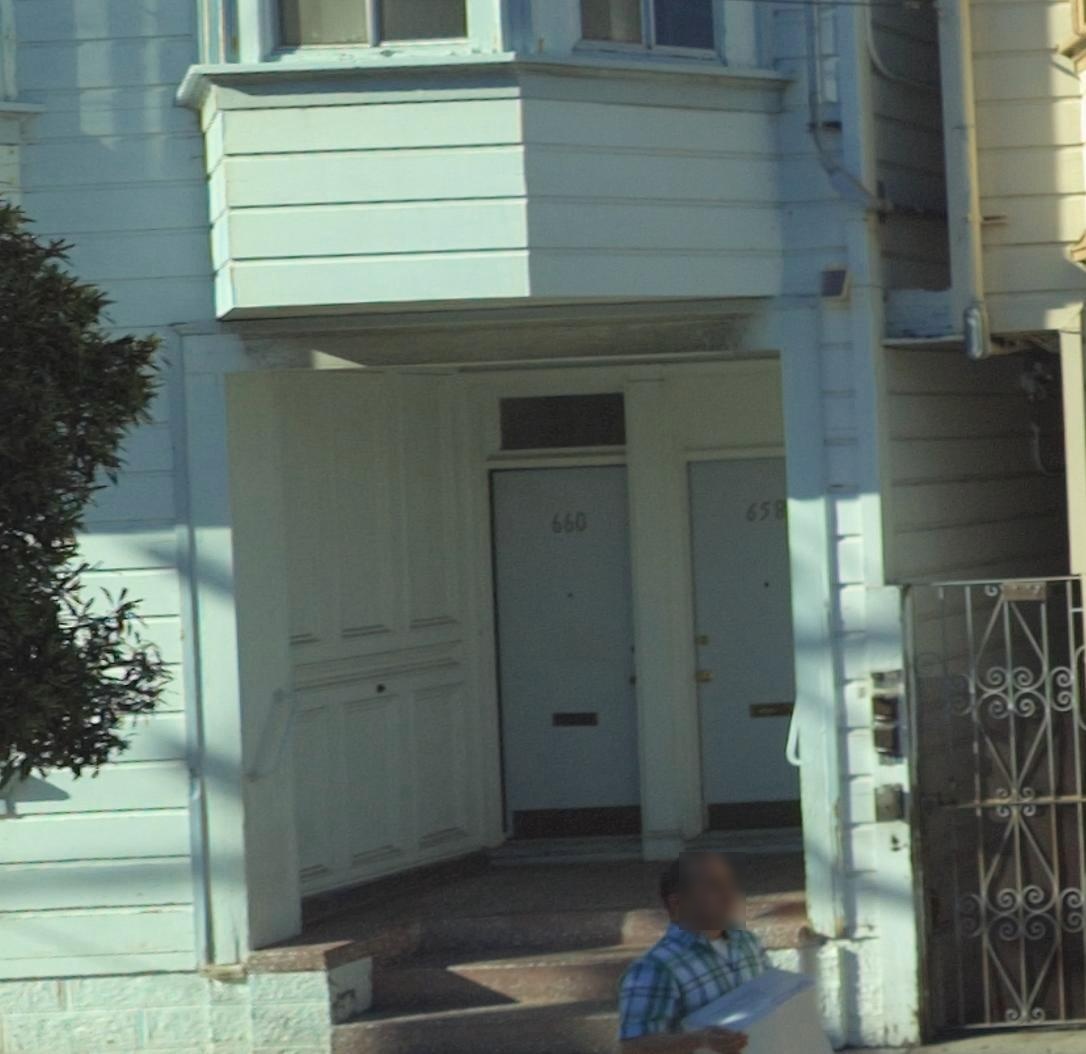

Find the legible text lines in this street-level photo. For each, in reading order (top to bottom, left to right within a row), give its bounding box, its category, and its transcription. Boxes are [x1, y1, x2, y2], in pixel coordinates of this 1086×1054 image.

[547, 509, 588, 535] StreetNumber: 660
[744, 498, 787, 523] StreetNumber: 658